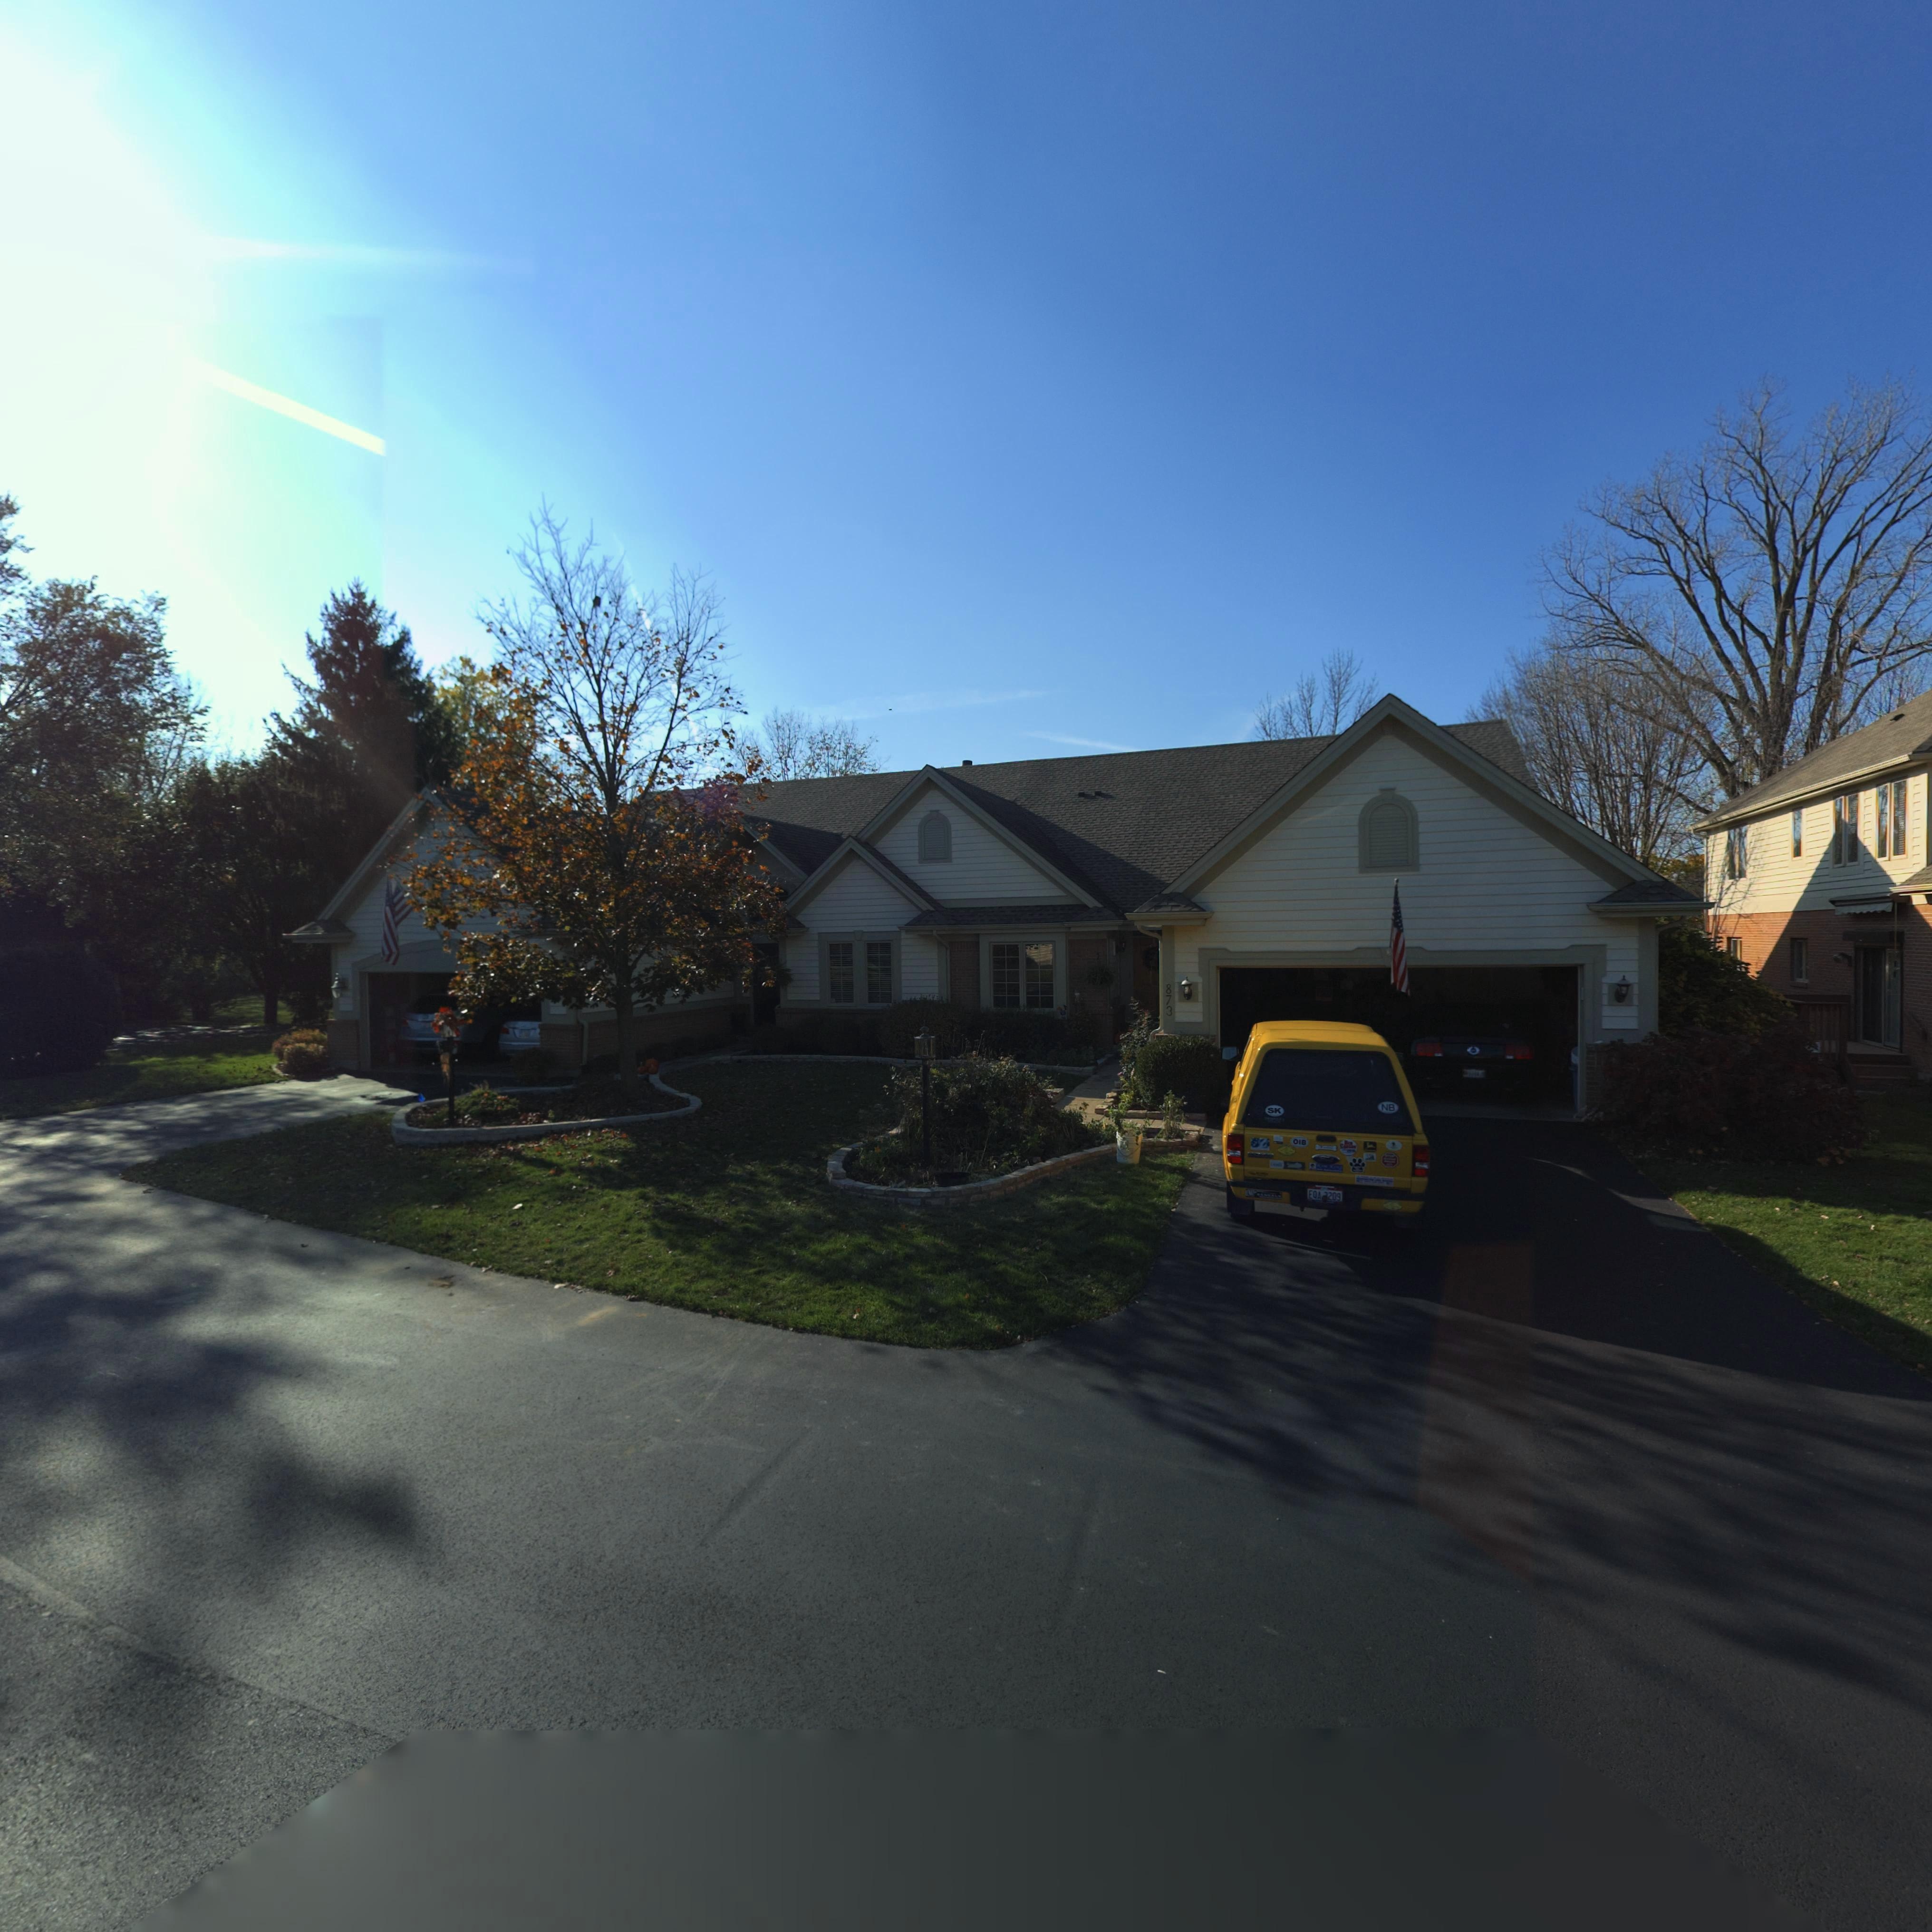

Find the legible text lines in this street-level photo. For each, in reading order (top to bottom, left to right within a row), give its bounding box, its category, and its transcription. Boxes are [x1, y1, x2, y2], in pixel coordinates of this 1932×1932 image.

[1165, 982, 1173, 1017] StreetNumber: 873